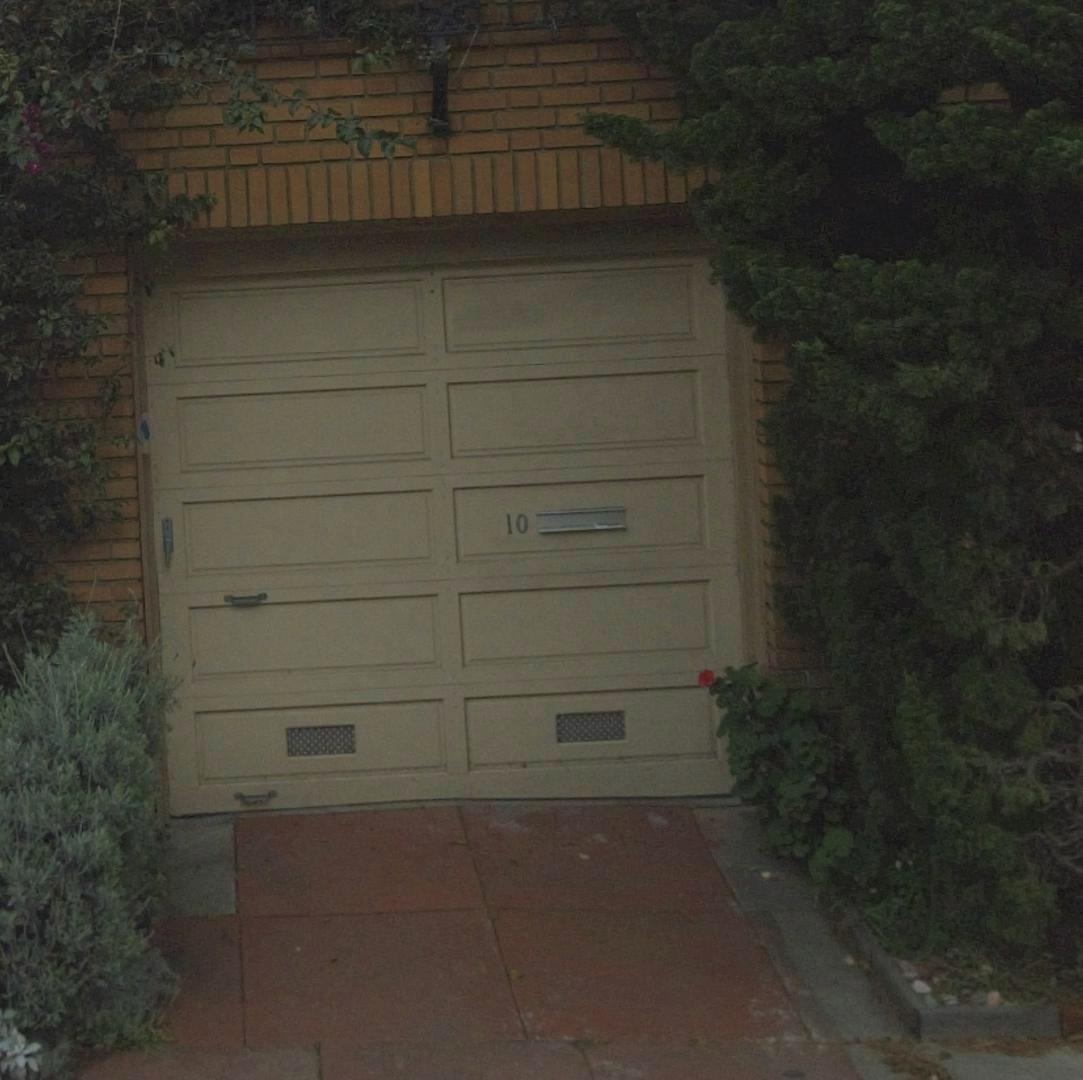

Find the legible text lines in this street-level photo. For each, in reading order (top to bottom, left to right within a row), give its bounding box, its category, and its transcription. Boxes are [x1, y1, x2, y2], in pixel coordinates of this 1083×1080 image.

[503, 510, 528, 537] StreetNumber: 10